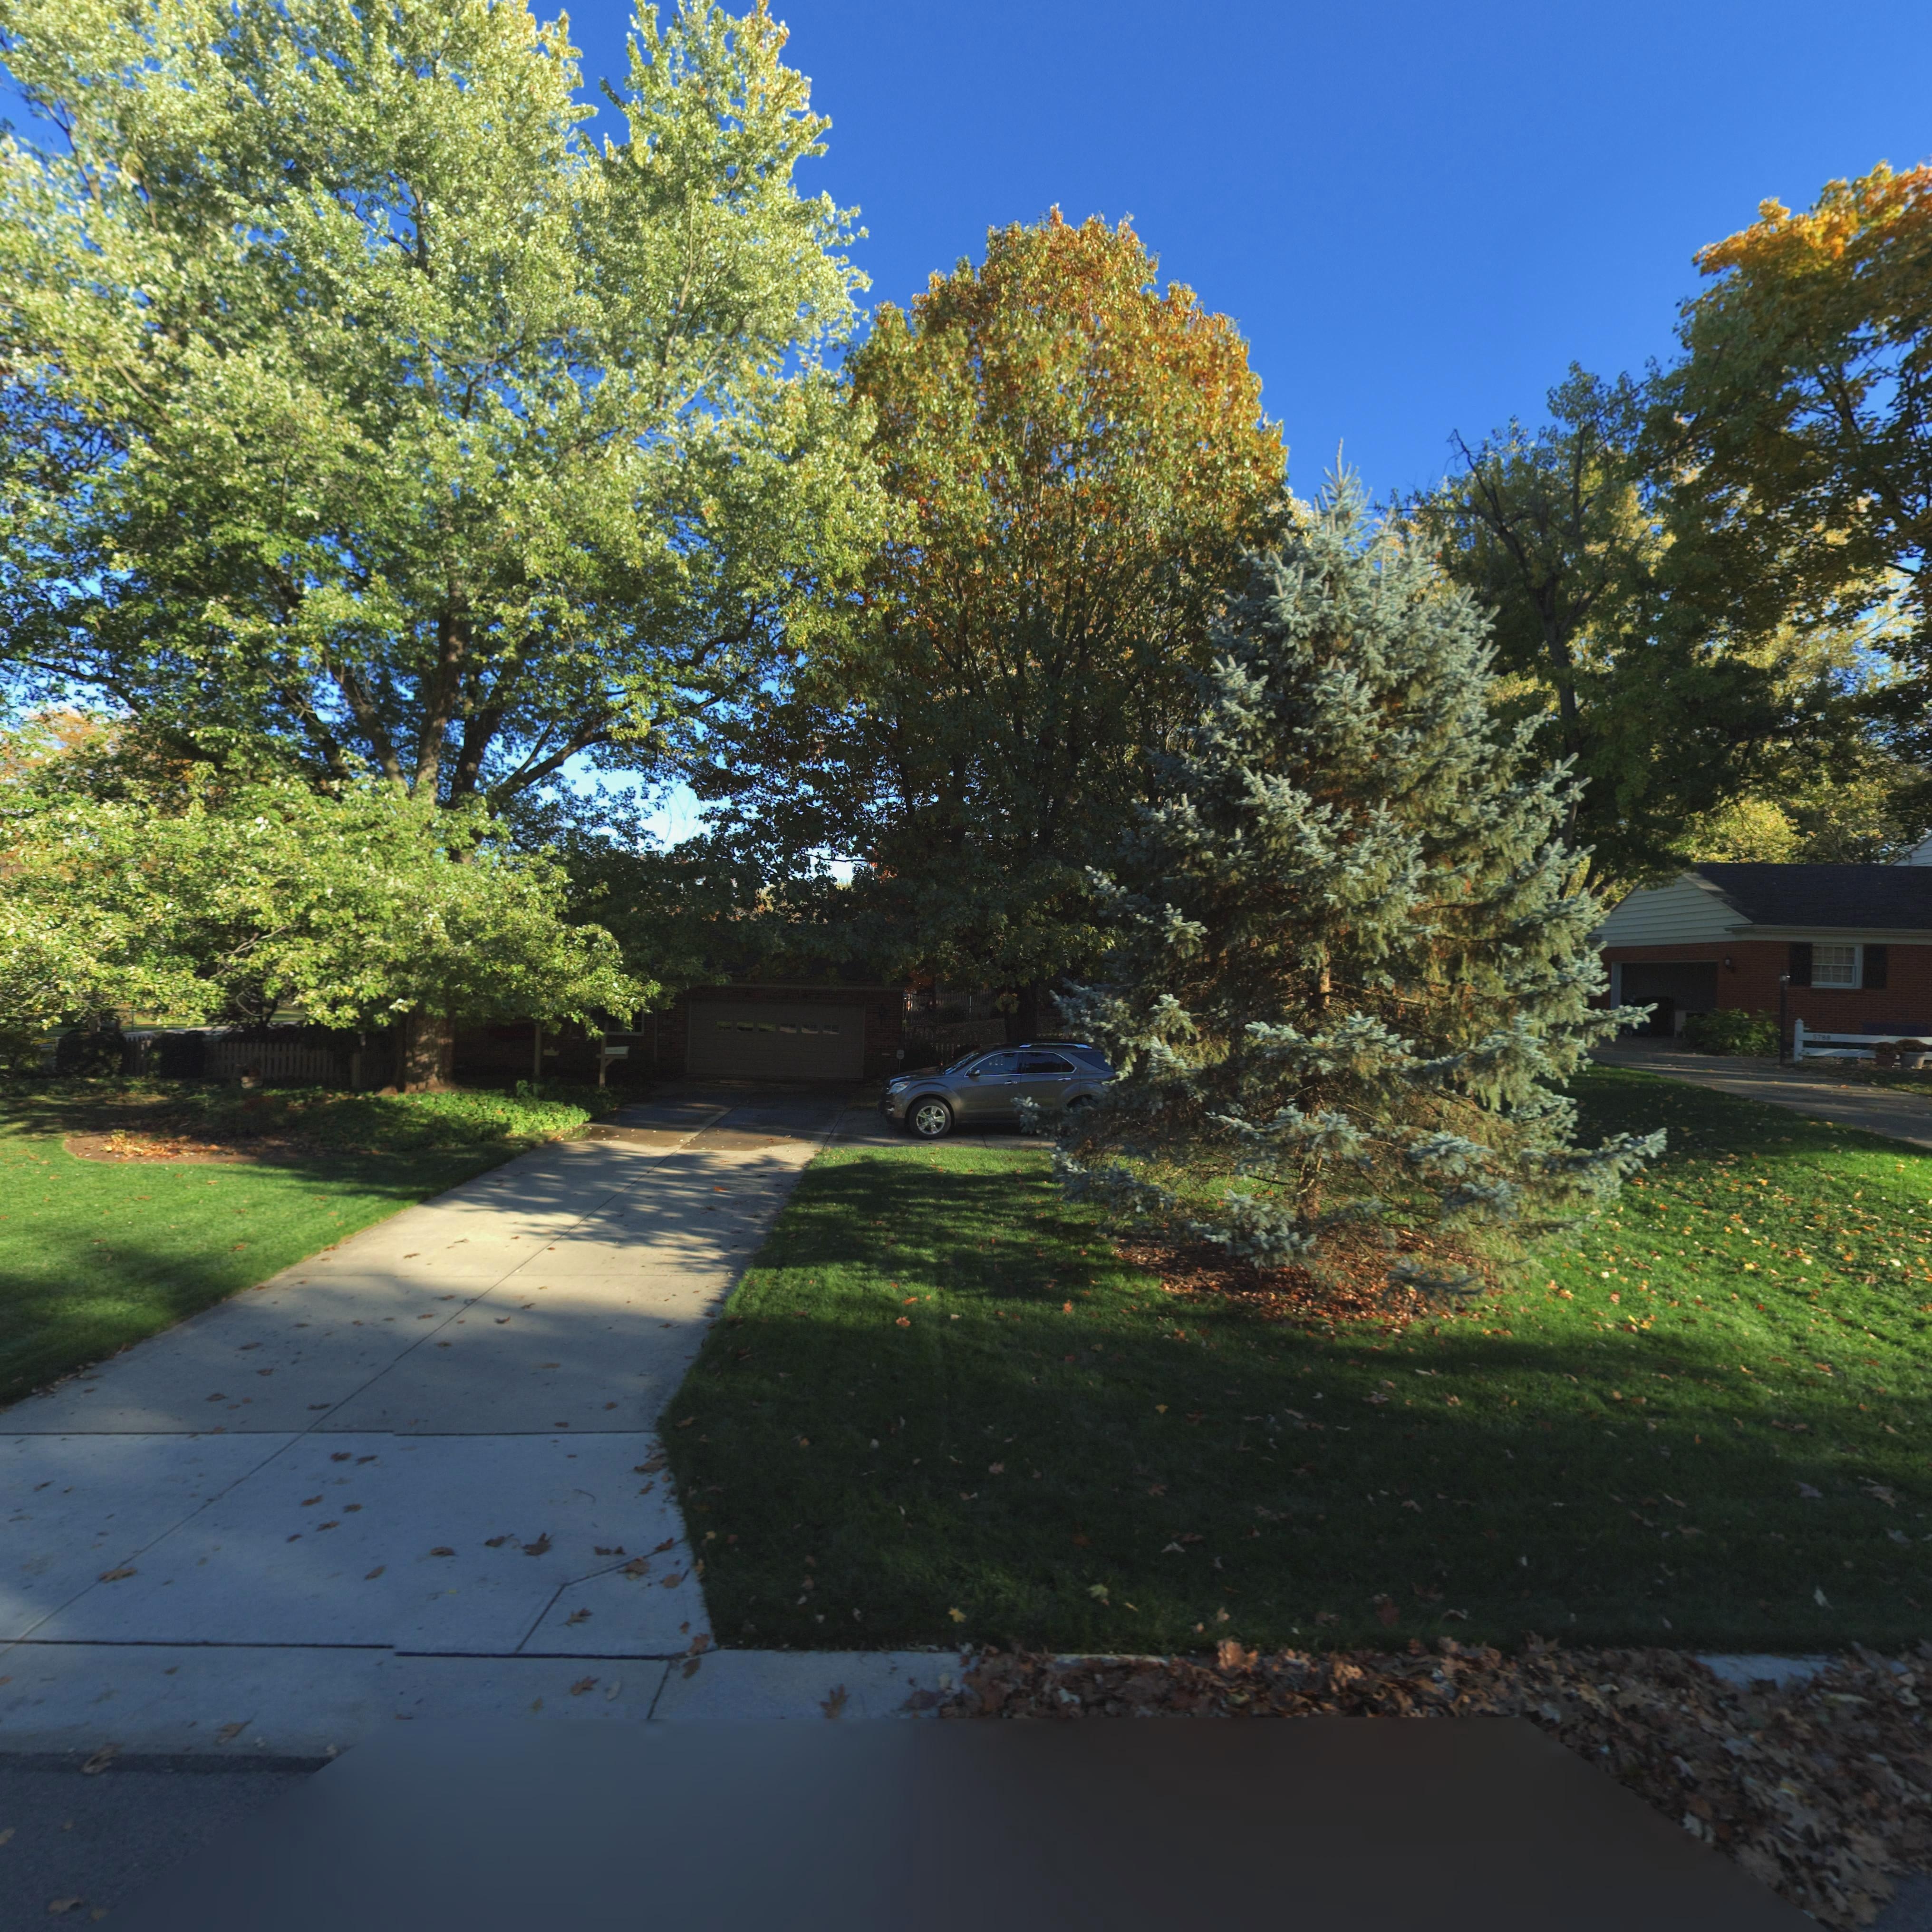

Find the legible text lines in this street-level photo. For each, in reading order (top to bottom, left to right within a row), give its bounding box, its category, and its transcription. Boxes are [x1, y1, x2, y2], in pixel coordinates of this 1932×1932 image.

[1811, 1033, 1831, 1041] StreetNumber: 5788